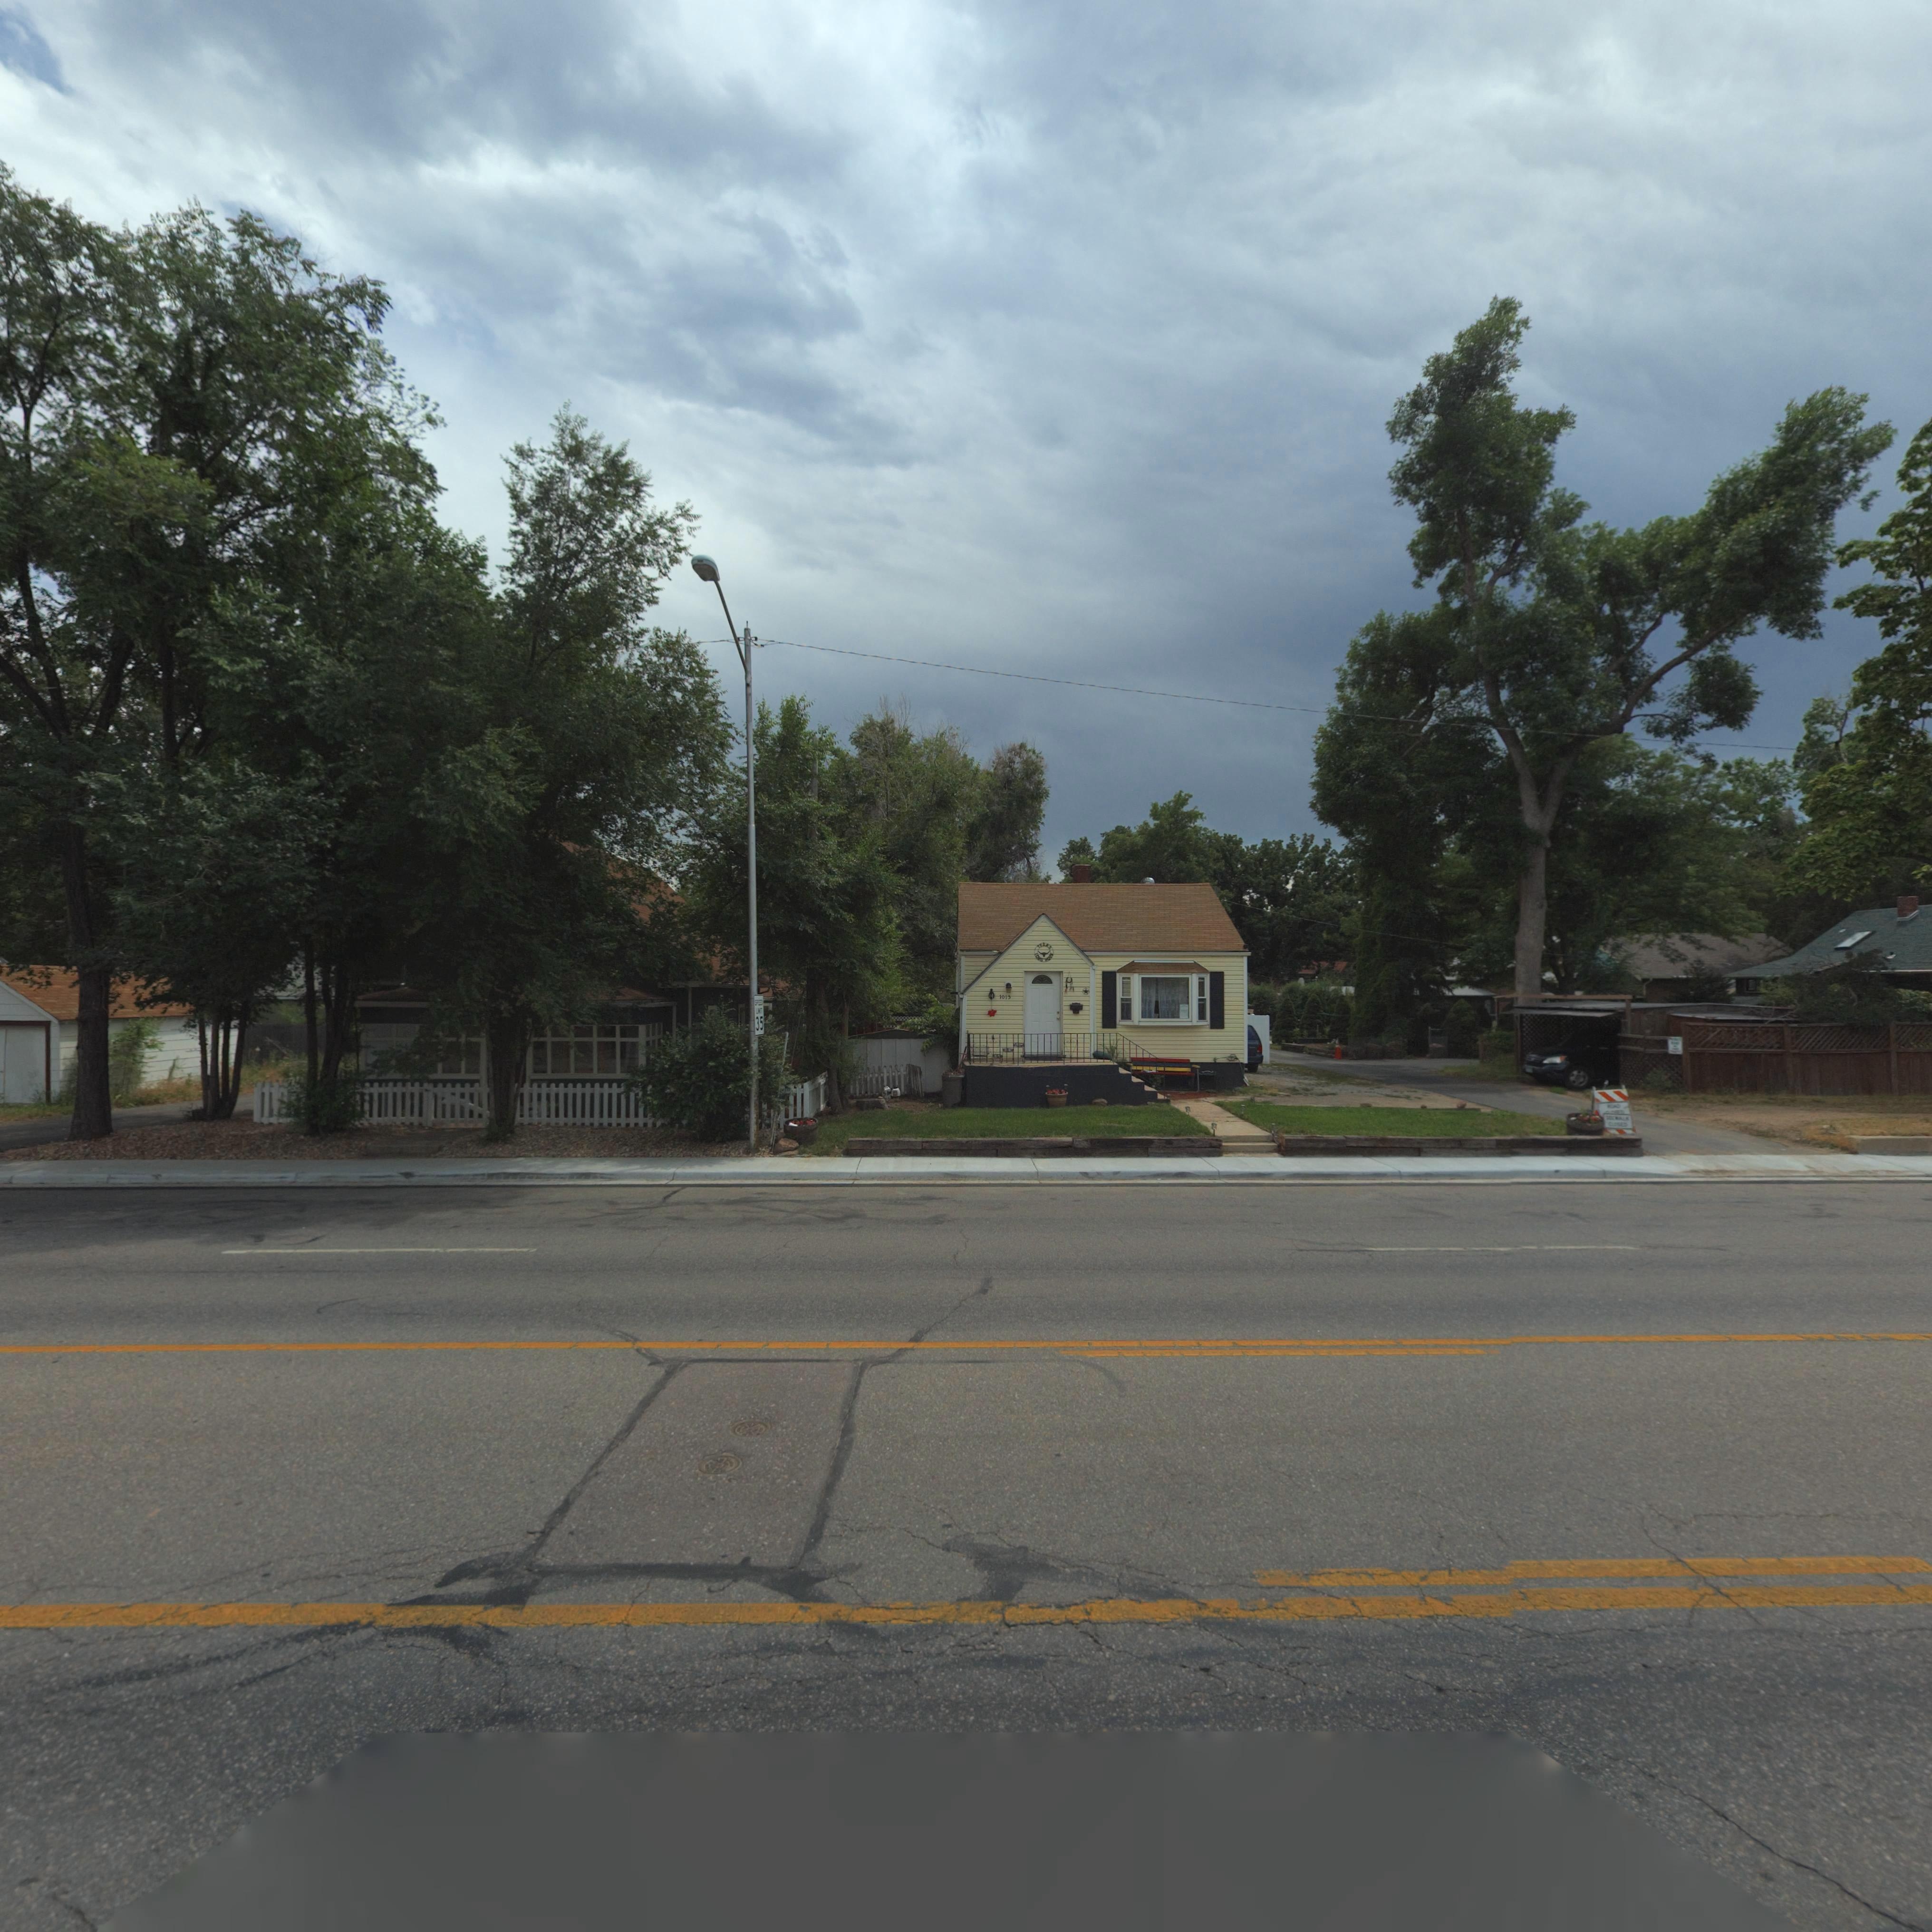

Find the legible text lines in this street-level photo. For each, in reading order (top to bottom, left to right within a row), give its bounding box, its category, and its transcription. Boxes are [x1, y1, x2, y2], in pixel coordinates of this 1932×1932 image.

[999, 994, 1011, 999] StreetNumber: 1015